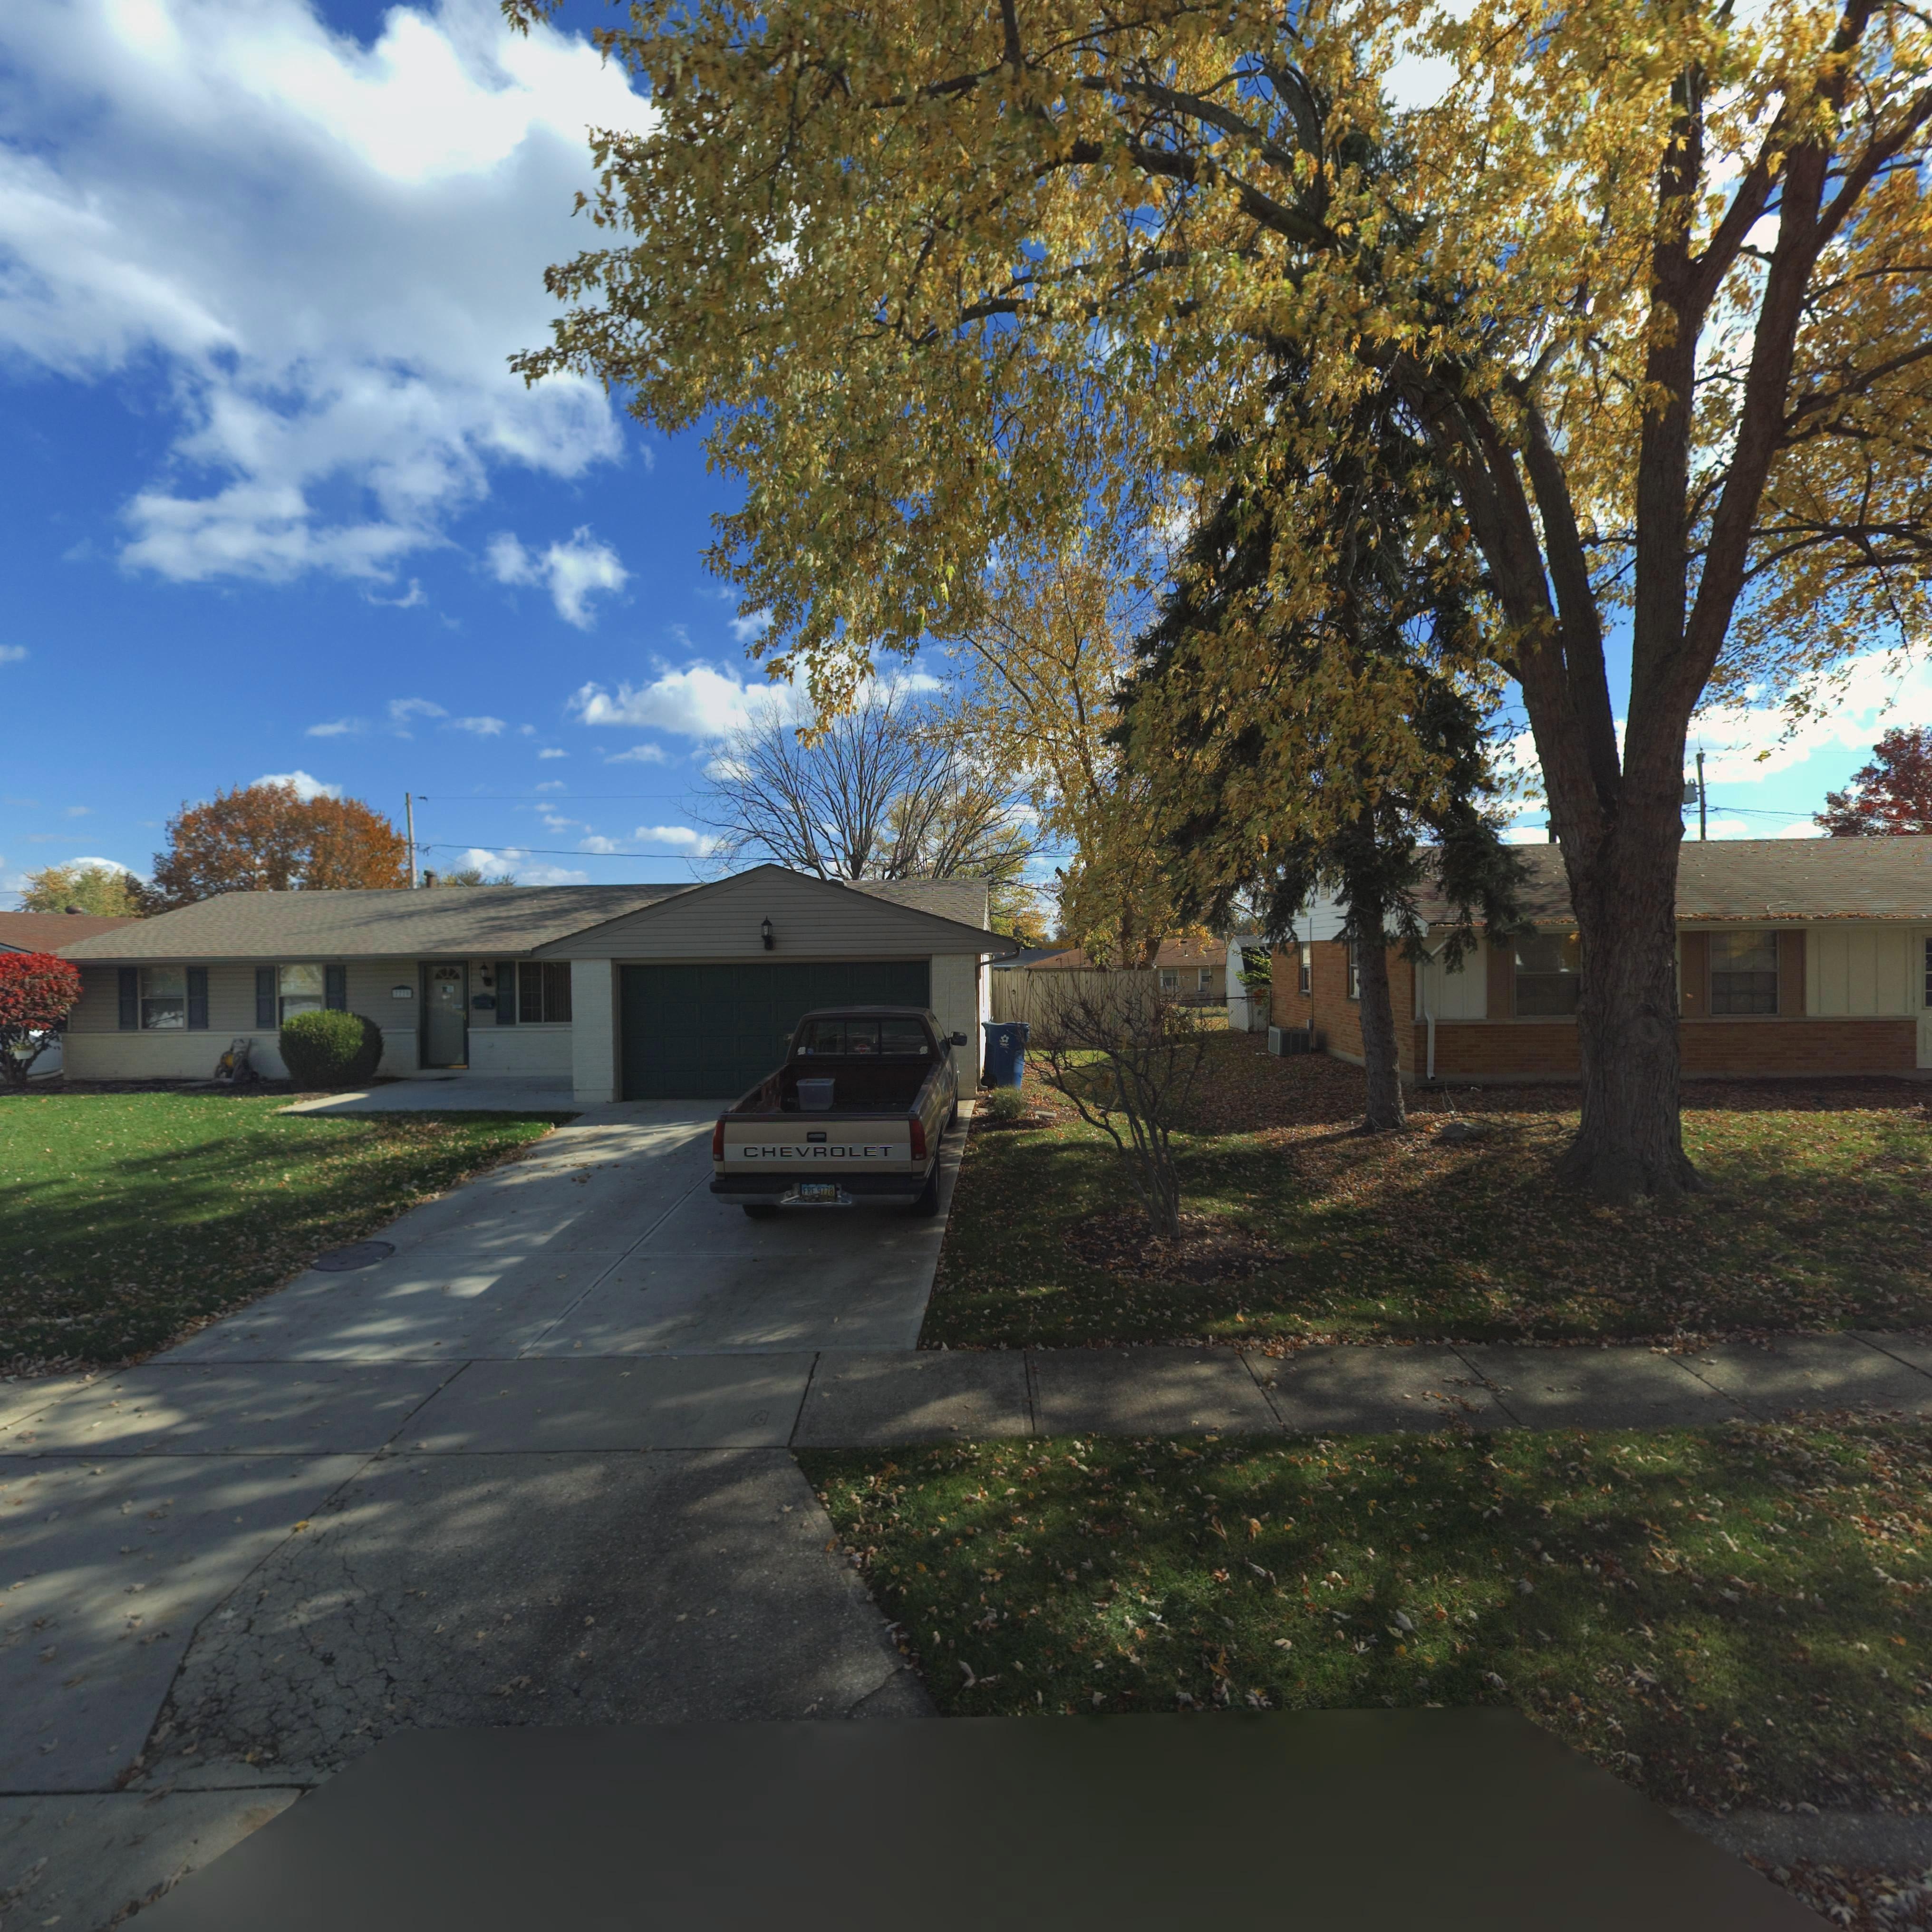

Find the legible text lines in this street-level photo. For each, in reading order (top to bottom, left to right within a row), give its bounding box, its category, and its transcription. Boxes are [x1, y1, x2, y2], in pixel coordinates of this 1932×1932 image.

[394, 990, 410, 997] StreetNumber: 7770